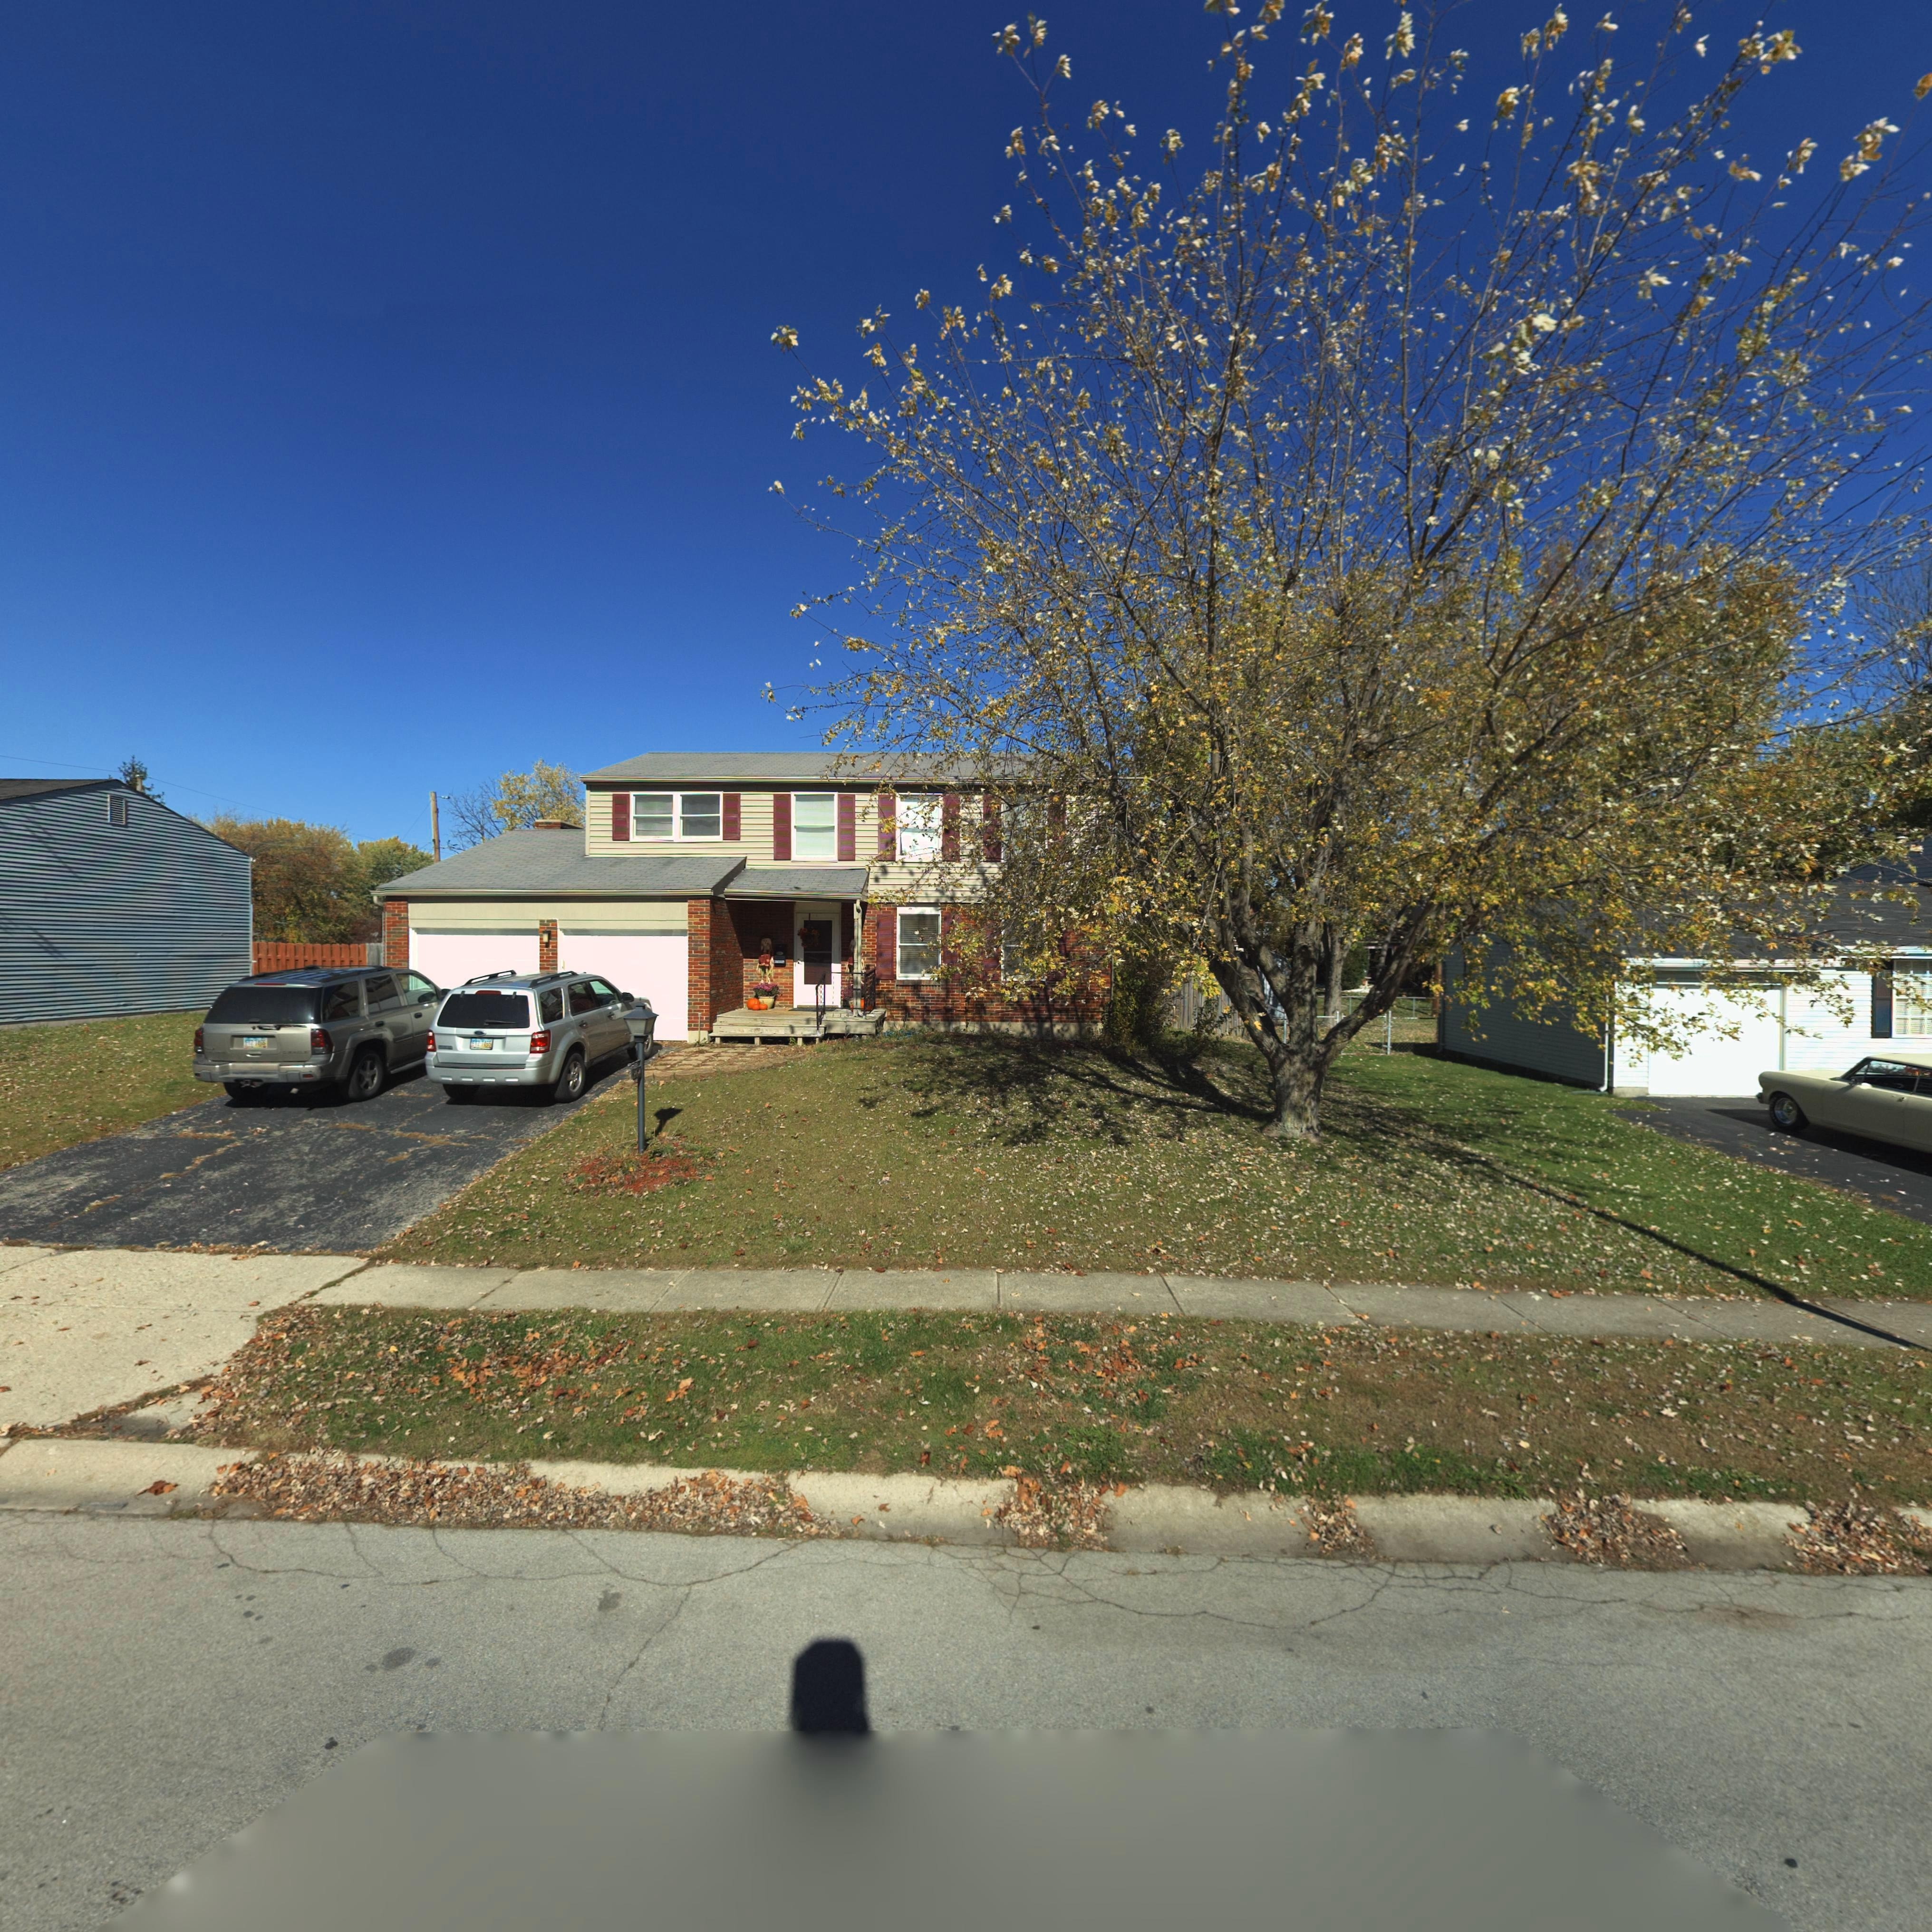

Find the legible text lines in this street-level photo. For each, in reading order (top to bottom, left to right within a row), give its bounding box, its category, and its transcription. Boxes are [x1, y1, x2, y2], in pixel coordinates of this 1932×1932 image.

[632, 1068, 641, 1080] StreetNumber: 264